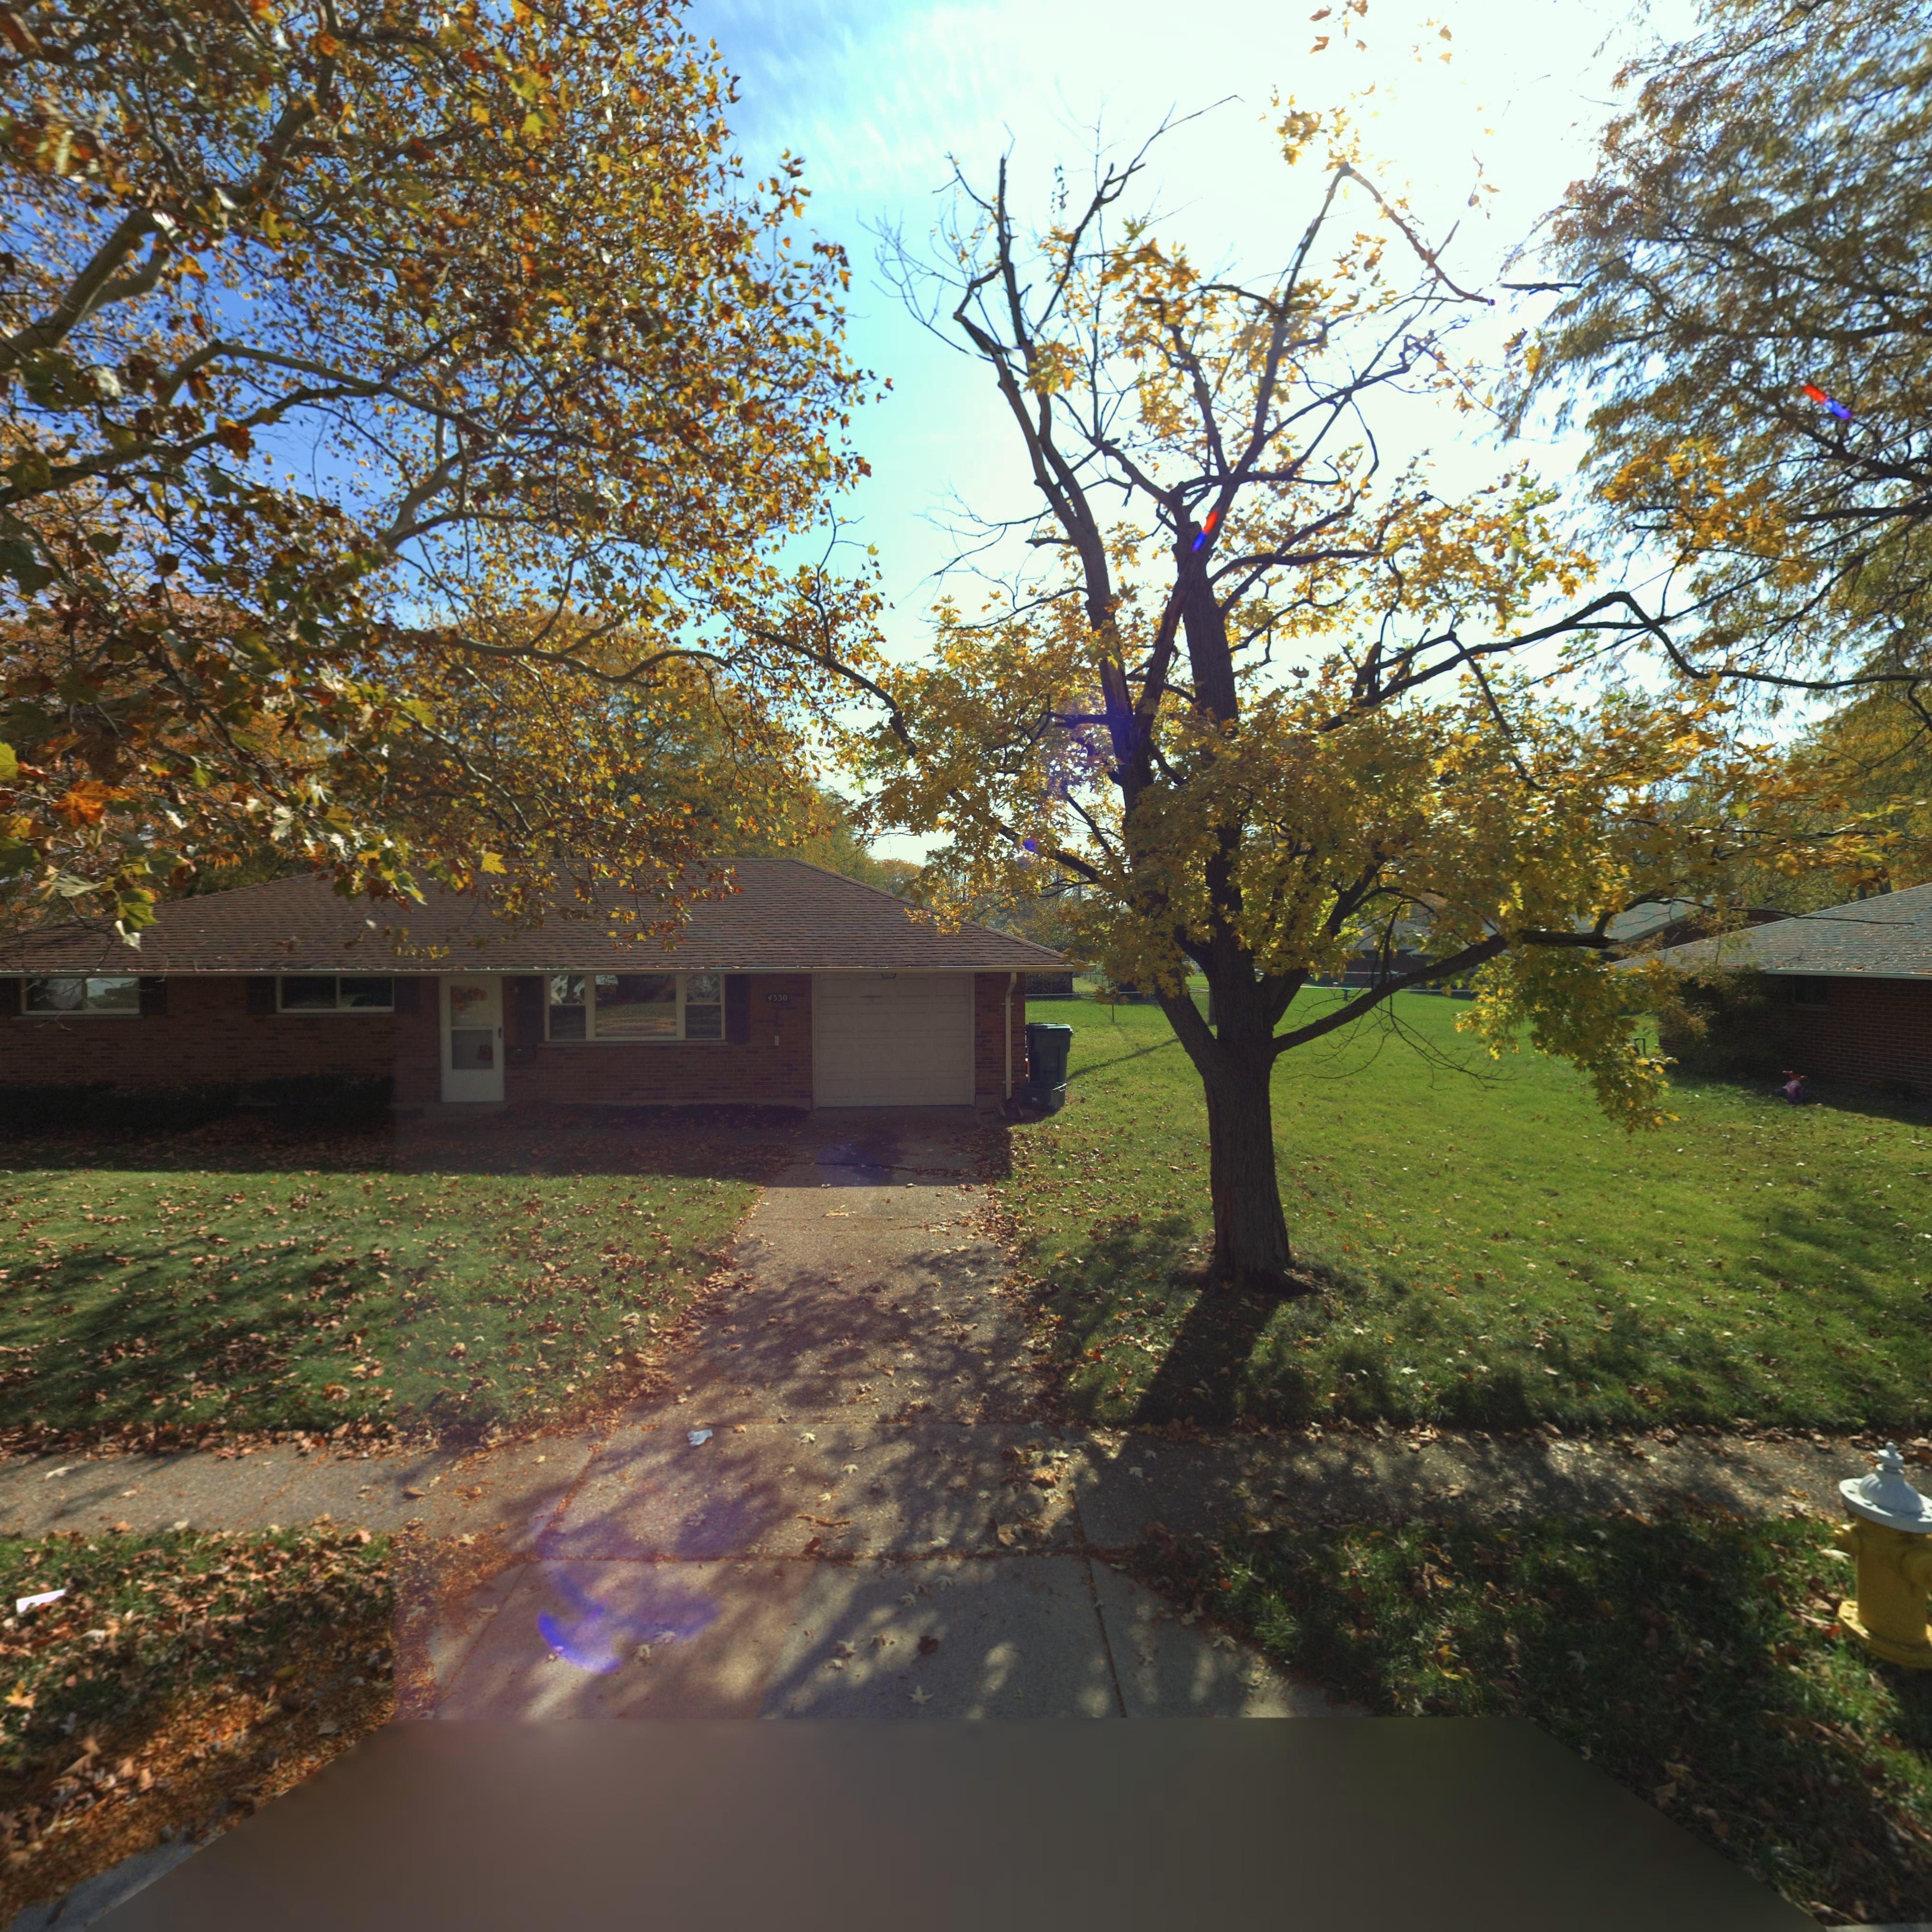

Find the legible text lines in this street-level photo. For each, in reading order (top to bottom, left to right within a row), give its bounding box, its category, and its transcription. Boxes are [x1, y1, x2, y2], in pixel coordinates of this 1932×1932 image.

[766, 993, 789, 1002] StreetNumber: 4330